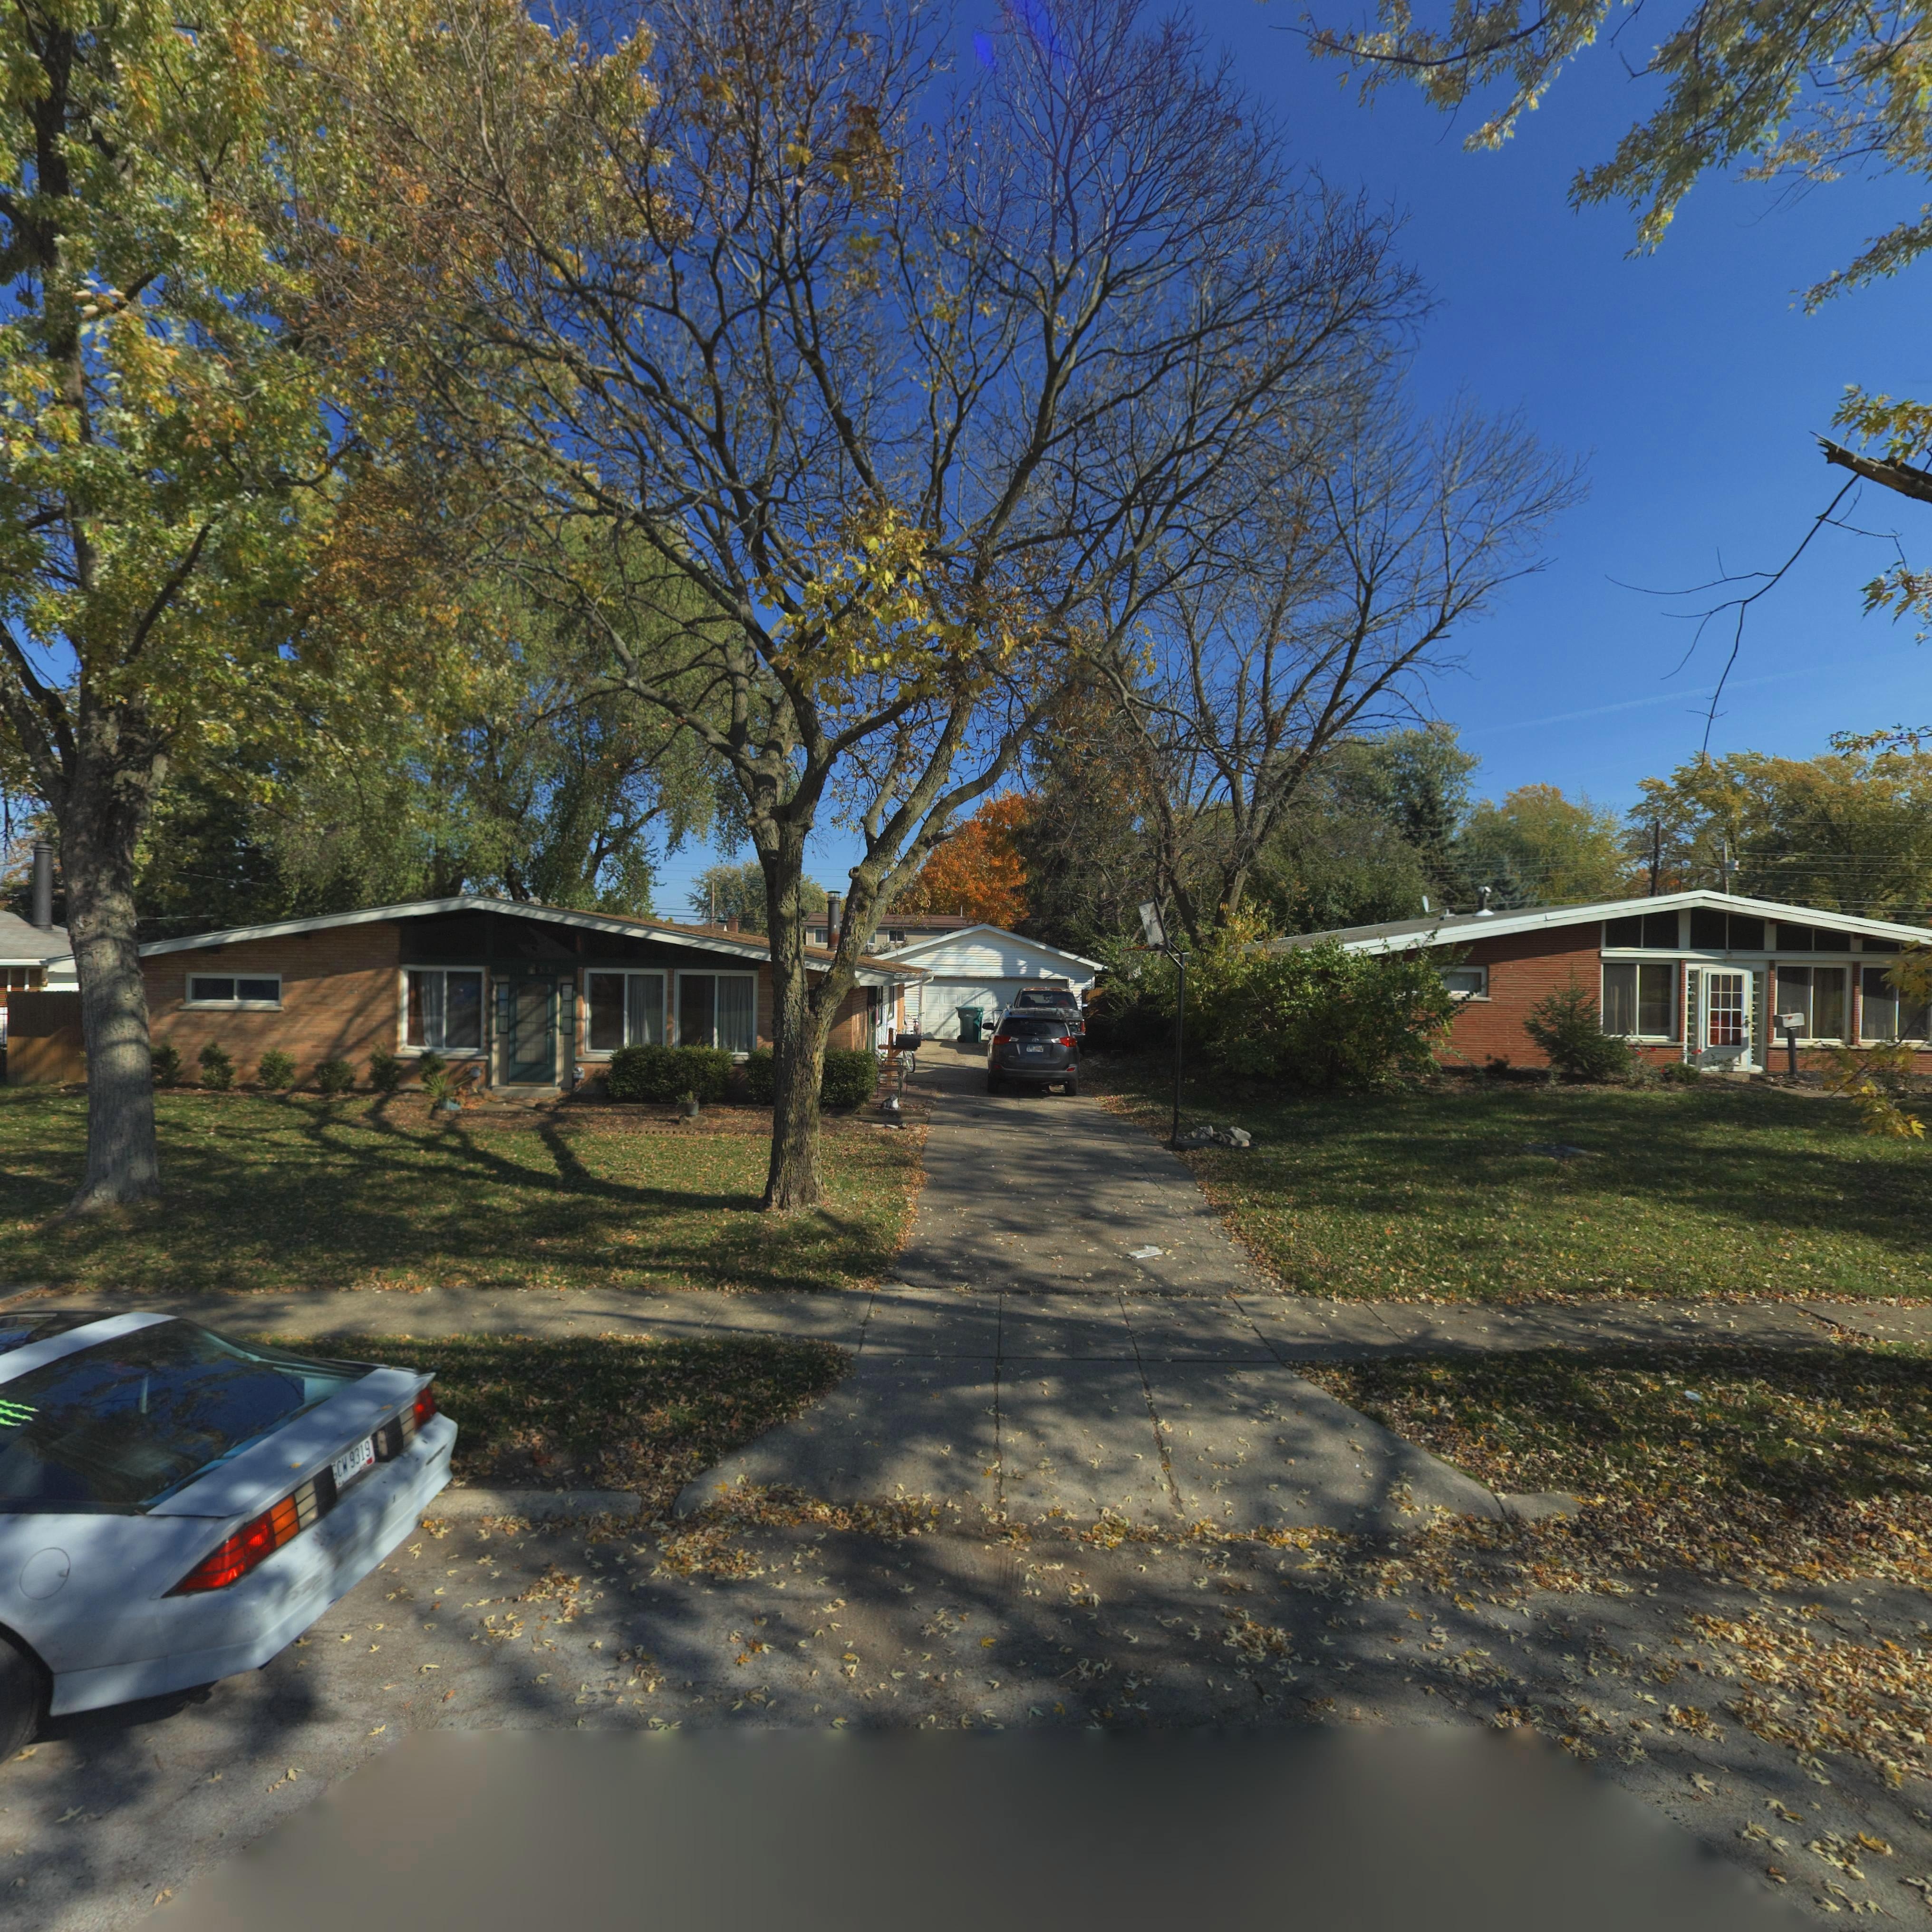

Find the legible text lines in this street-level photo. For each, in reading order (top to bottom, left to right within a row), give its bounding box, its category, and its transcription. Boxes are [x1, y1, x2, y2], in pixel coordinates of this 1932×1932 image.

[537, 966, 556, 974] StreetNumber: 3***
[336, 1439, 371, 1478] None: CW*9319